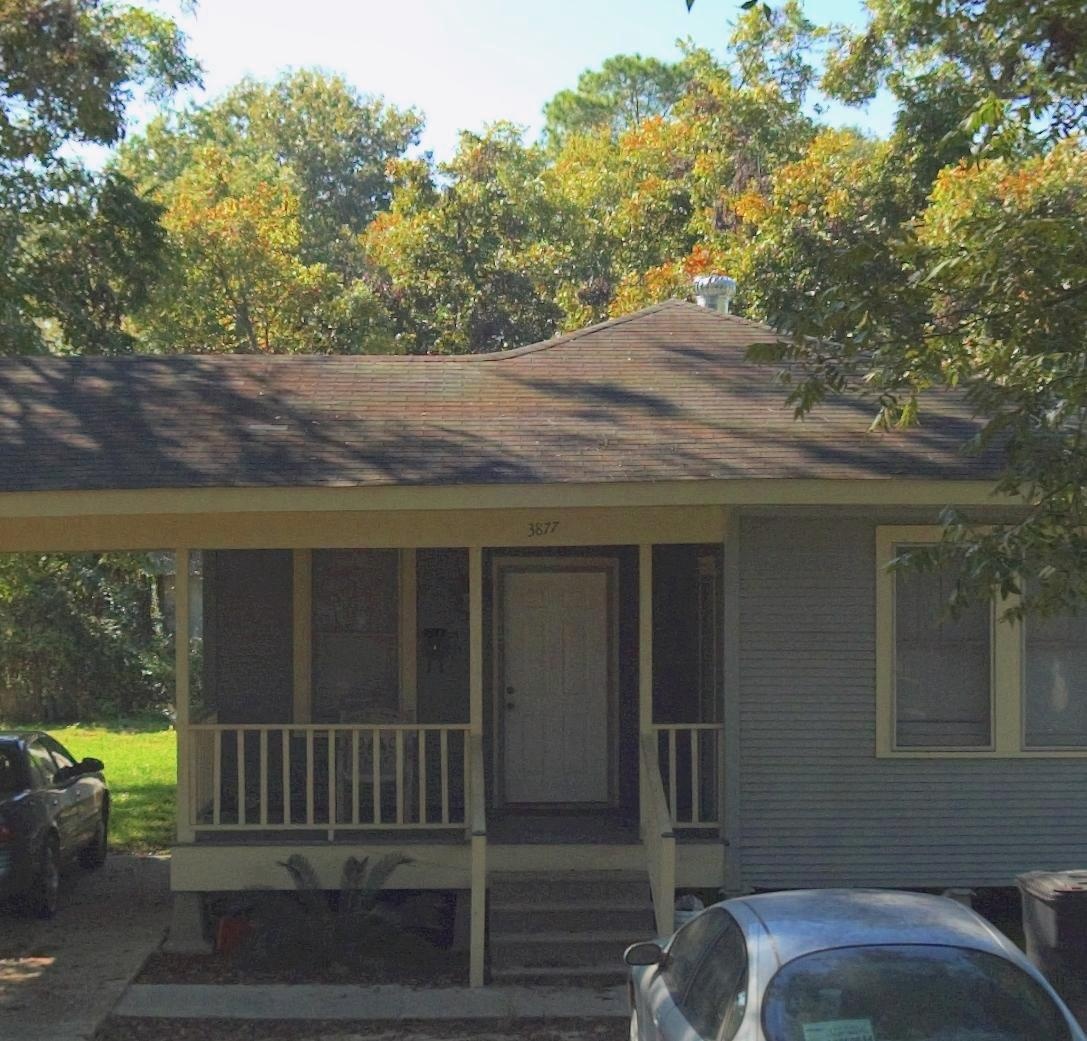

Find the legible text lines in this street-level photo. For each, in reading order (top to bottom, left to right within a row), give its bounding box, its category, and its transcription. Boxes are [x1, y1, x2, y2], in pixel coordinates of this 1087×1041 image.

[527, 520, 560, 539] StreetNumber: 3877